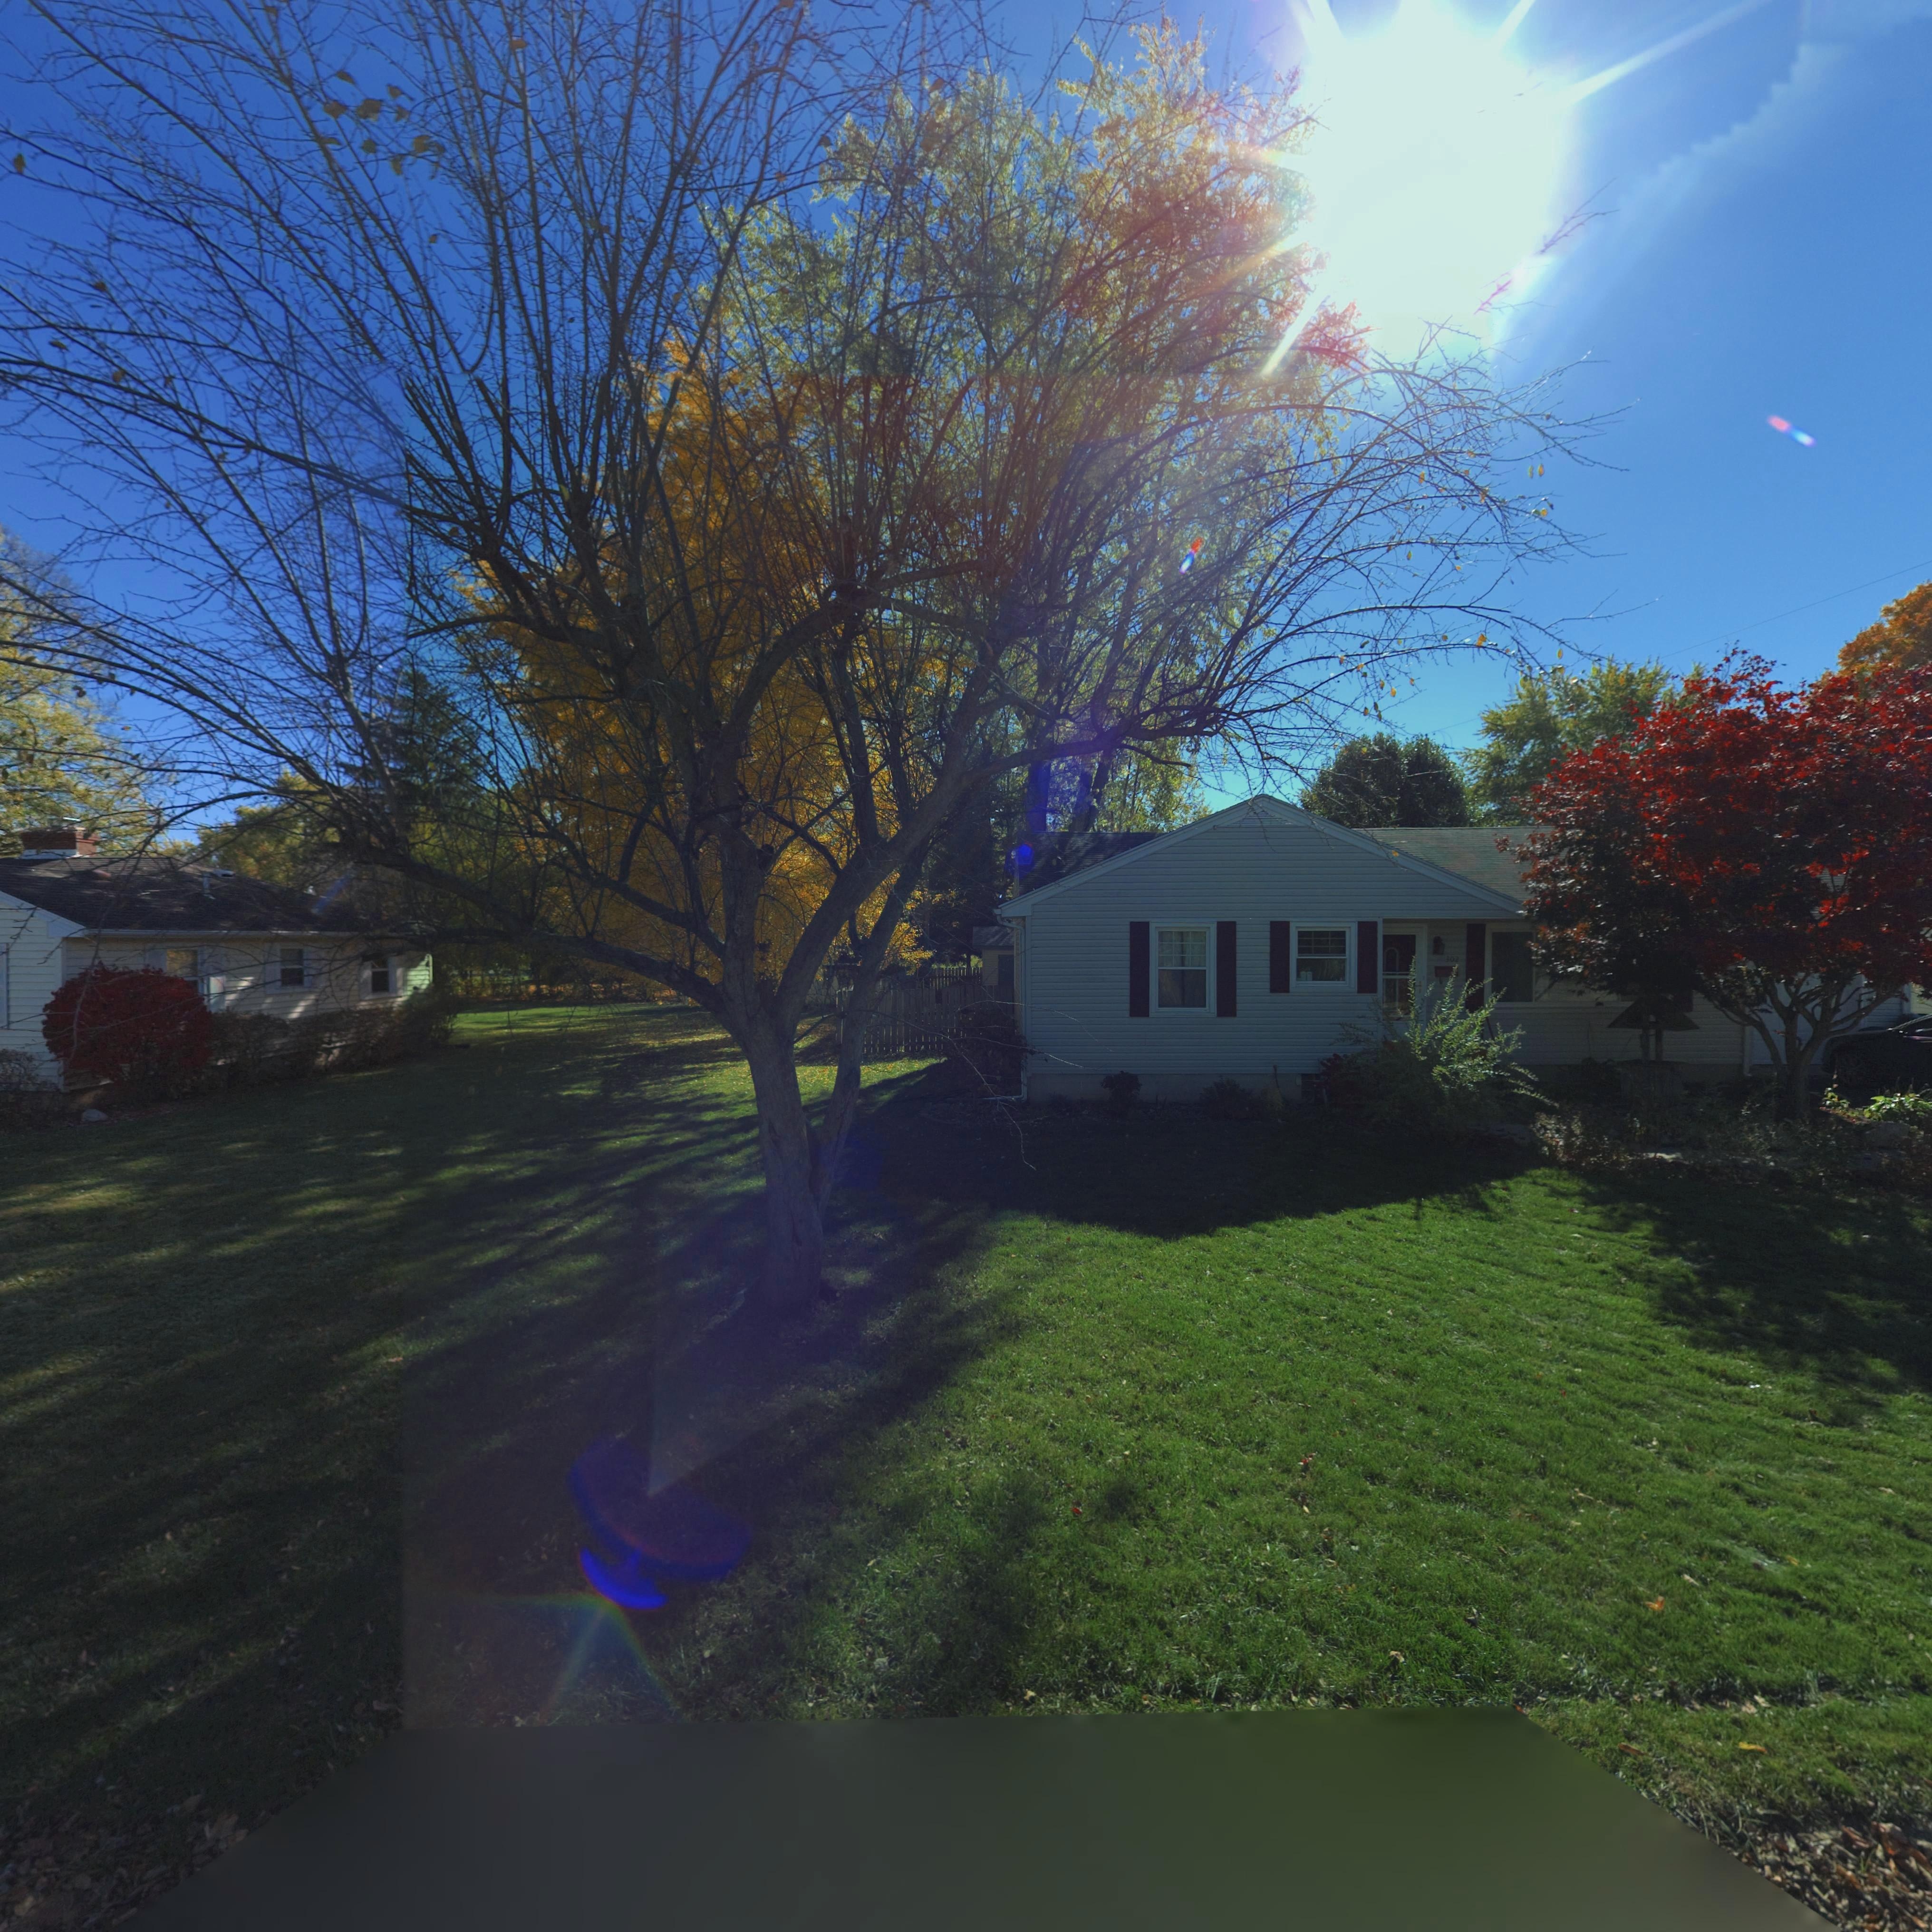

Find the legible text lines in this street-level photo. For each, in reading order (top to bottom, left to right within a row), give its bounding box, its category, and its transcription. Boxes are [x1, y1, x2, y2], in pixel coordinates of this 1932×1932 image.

[1445, 955, 1459, 962] StreetNumber: 302